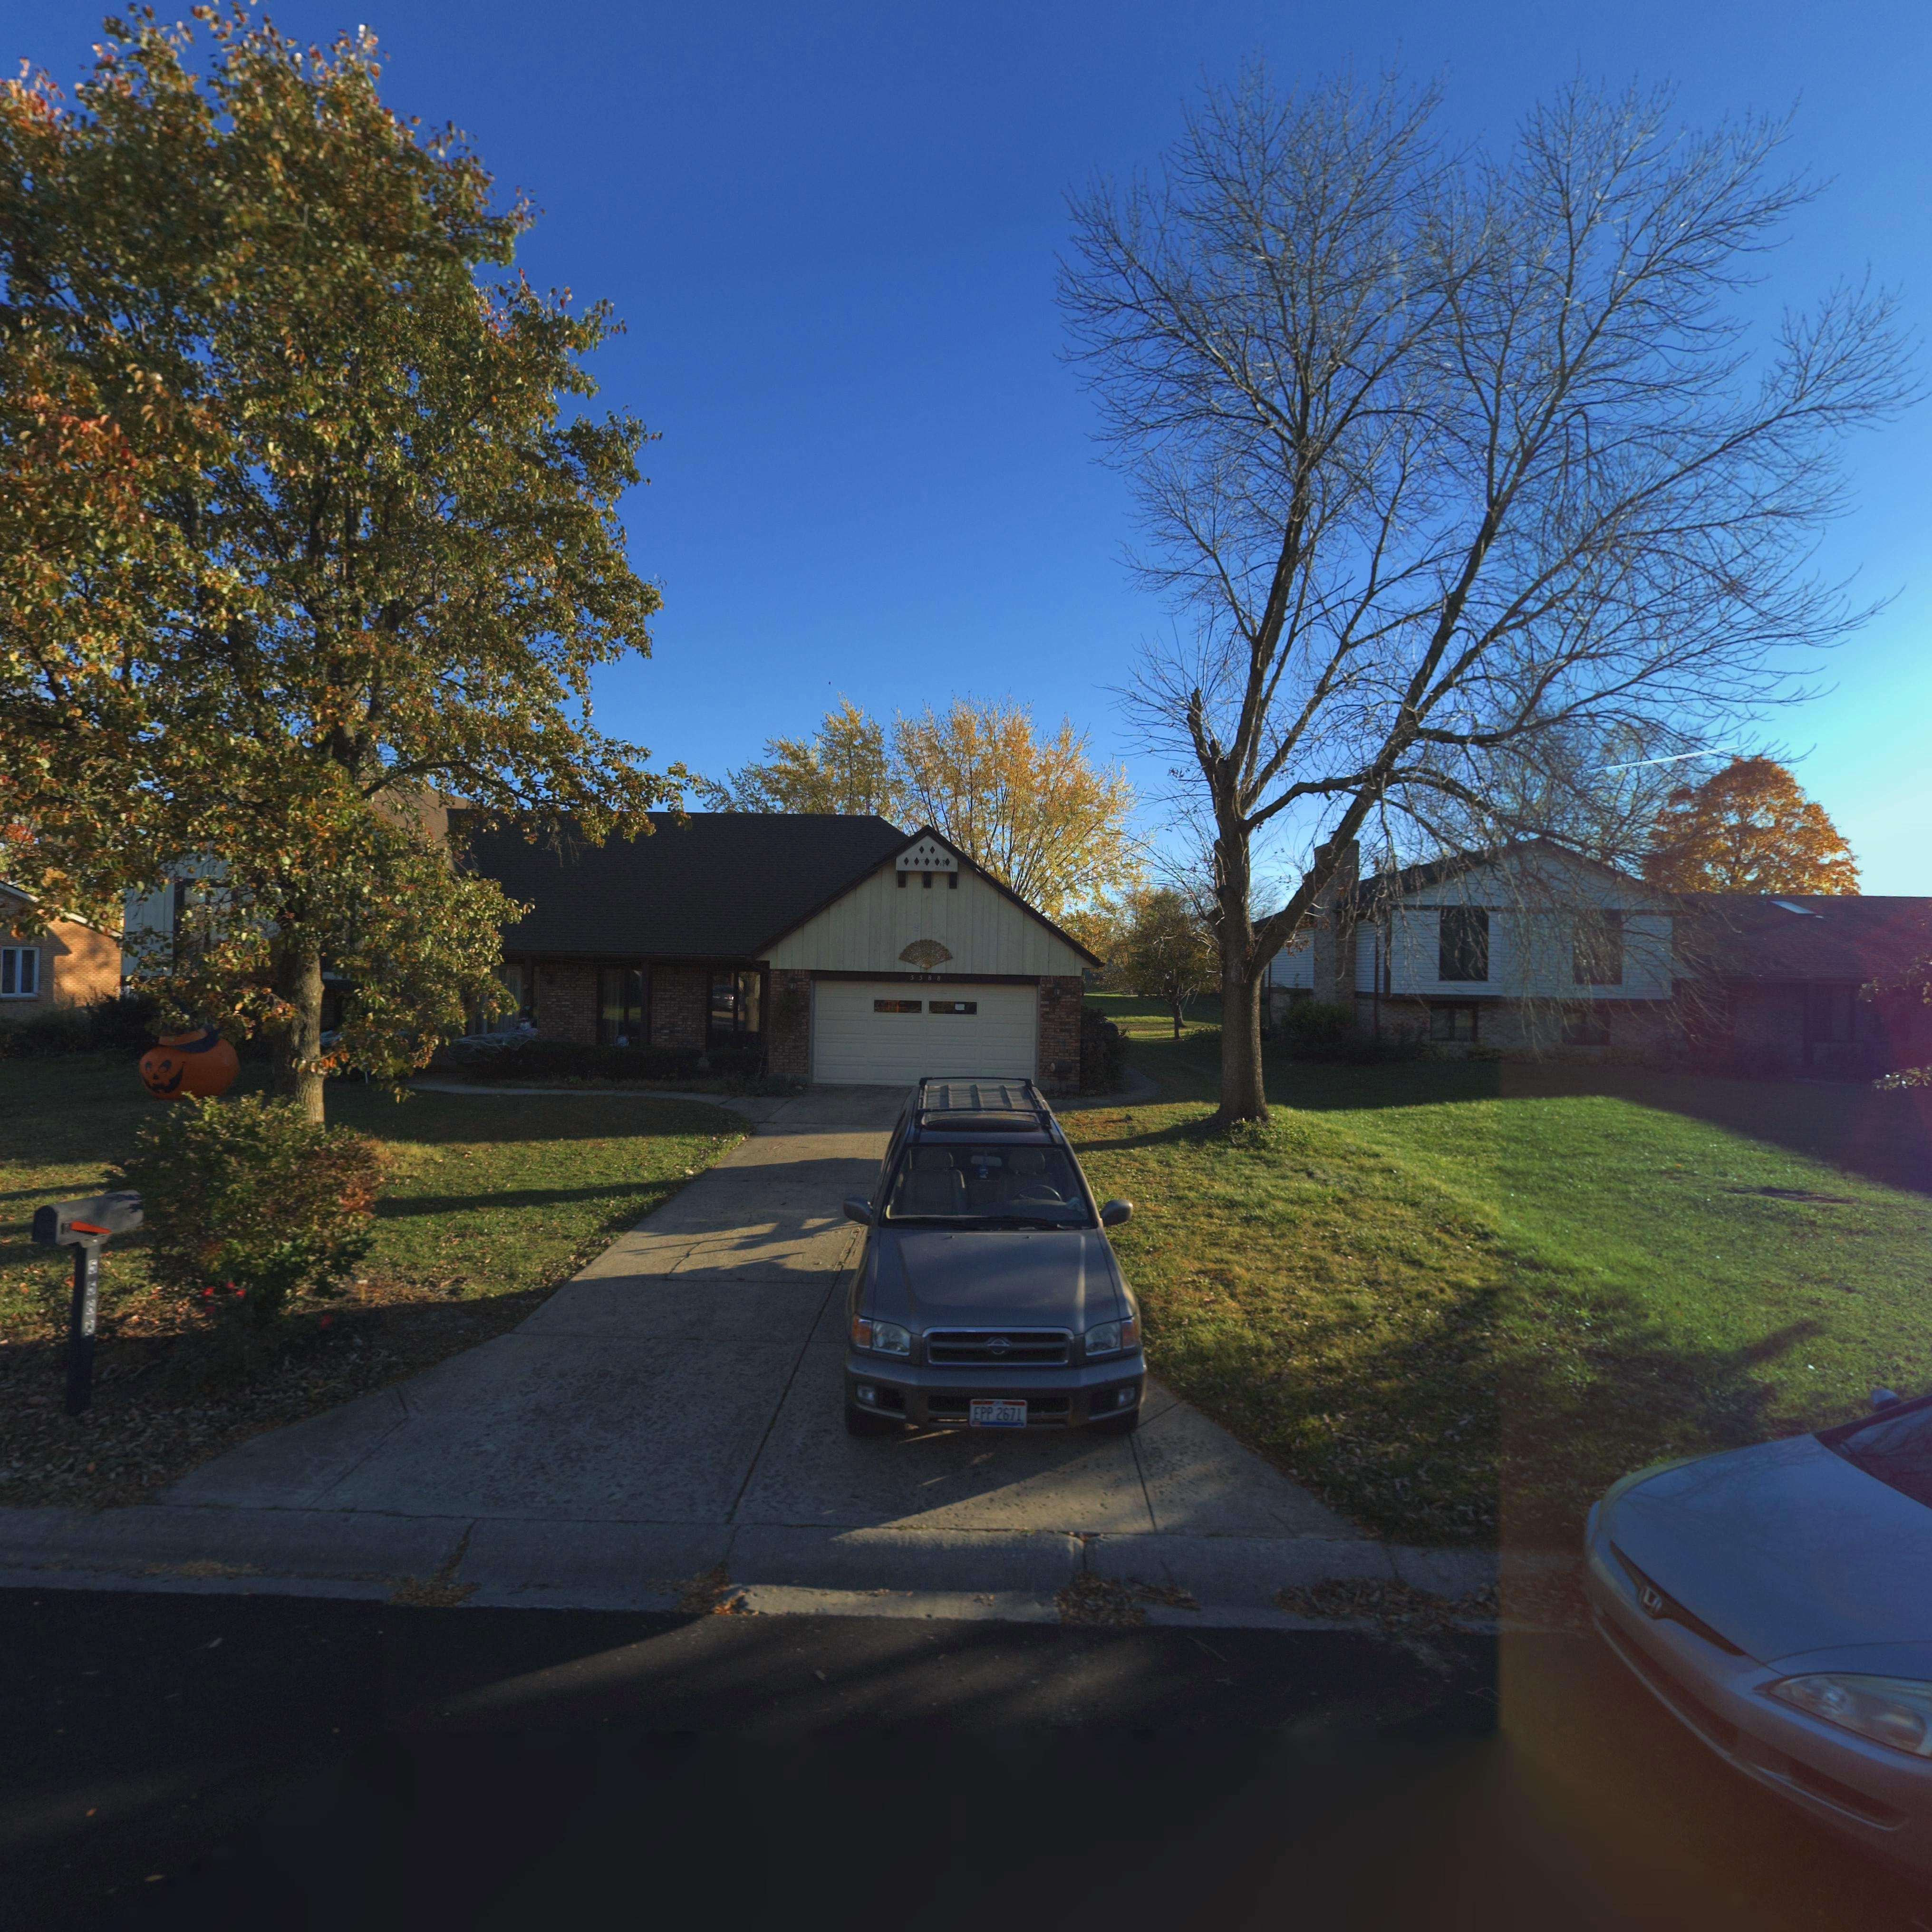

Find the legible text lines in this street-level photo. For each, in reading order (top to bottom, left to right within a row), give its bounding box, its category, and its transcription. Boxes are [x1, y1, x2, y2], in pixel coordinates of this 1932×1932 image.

[909, 975, 942, 982] StreetNumber: 5588
[84, 1258, 98, 1336] StreetNumber: 5588